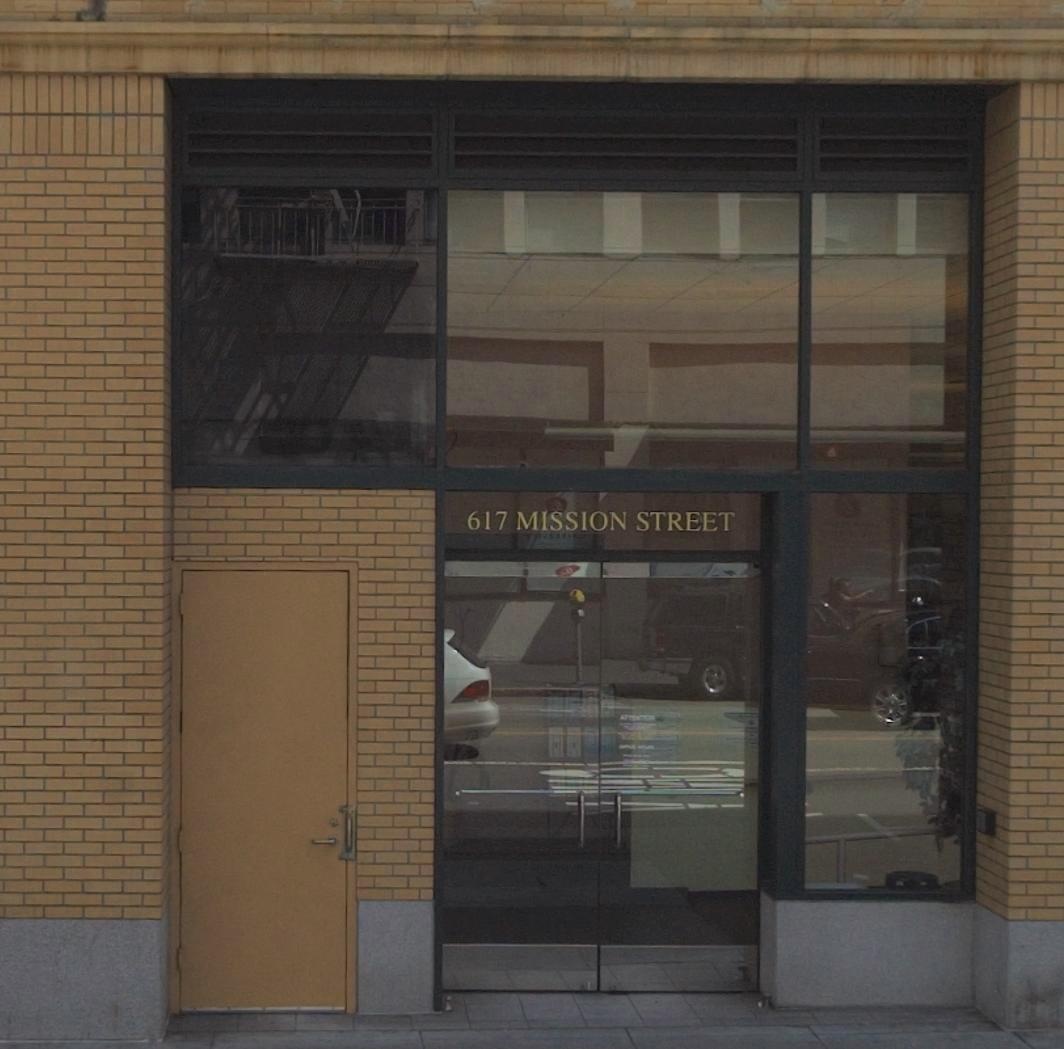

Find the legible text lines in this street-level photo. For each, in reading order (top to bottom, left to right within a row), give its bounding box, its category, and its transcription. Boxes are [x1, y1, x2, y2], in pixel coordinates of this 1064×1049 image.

[466, 507, 510, 533] StreetNumber: 617
[515, 507, 735, 533] StreetName: MISSION STREET